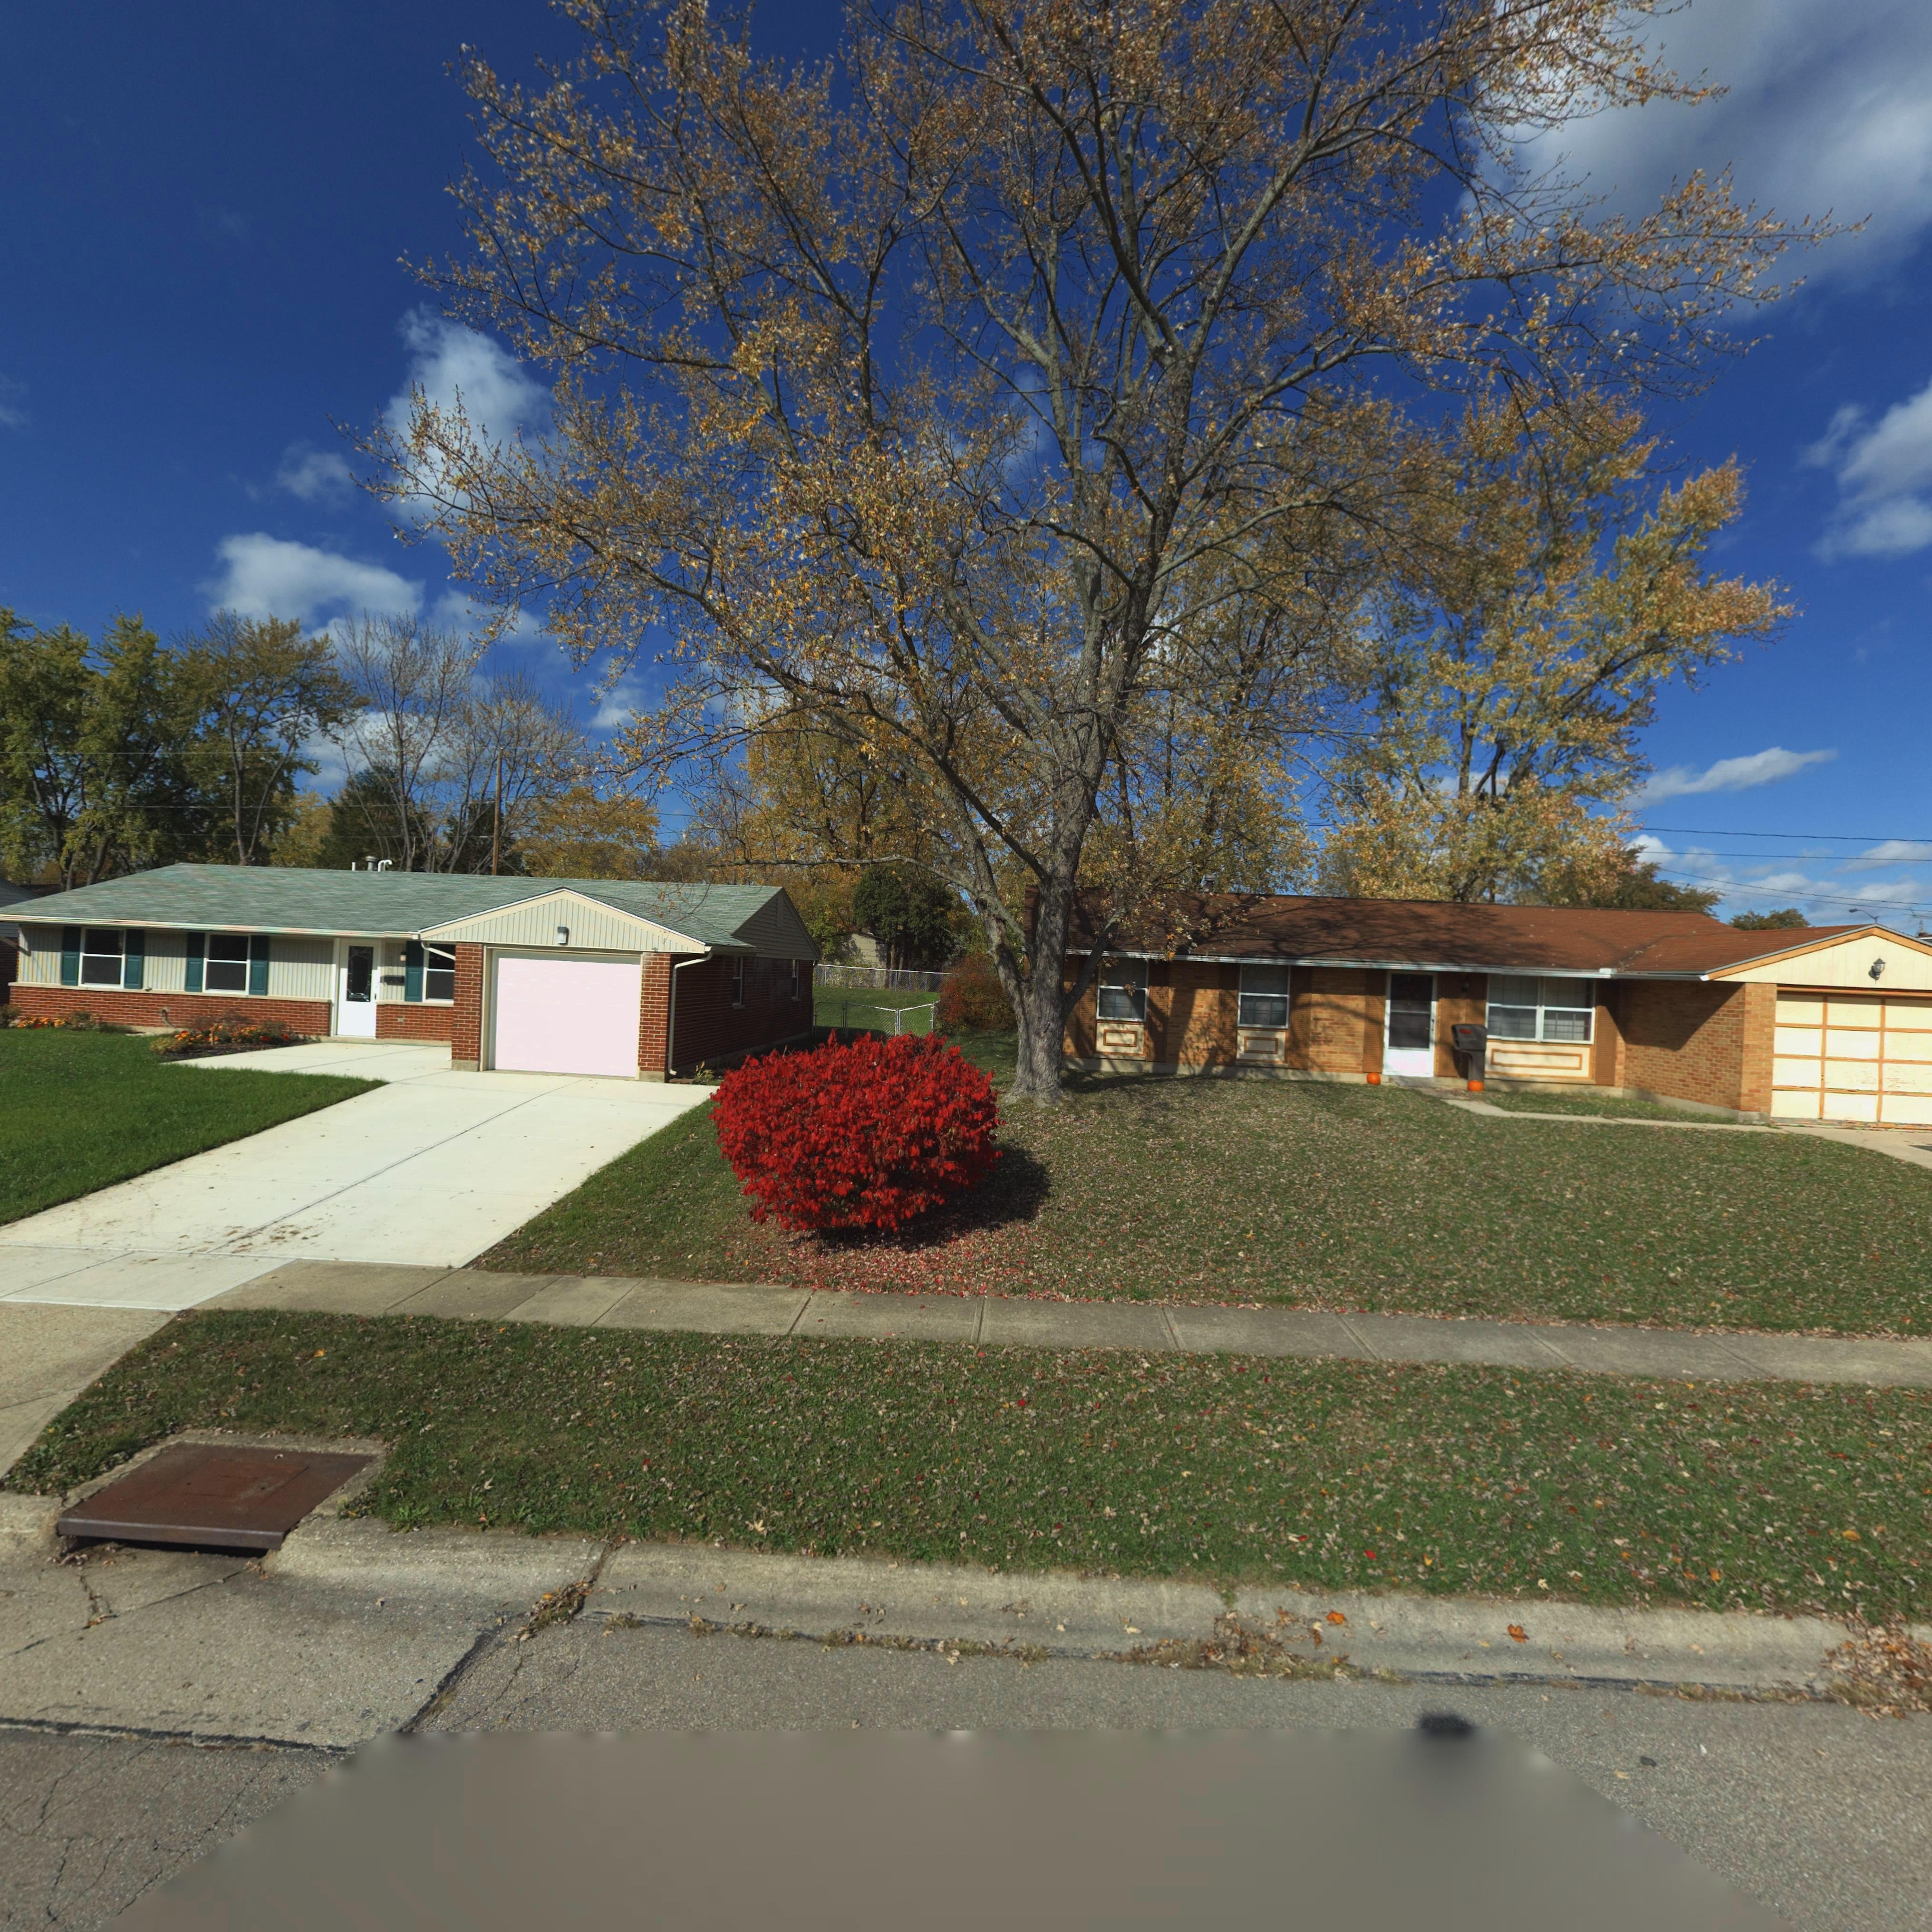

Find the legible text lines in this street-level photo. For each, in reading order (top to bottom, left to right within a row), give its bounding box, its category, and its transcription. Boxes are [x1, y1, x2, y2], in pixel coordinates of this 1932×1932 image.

[388, 949, 394, 974] StreetNumber: 7543